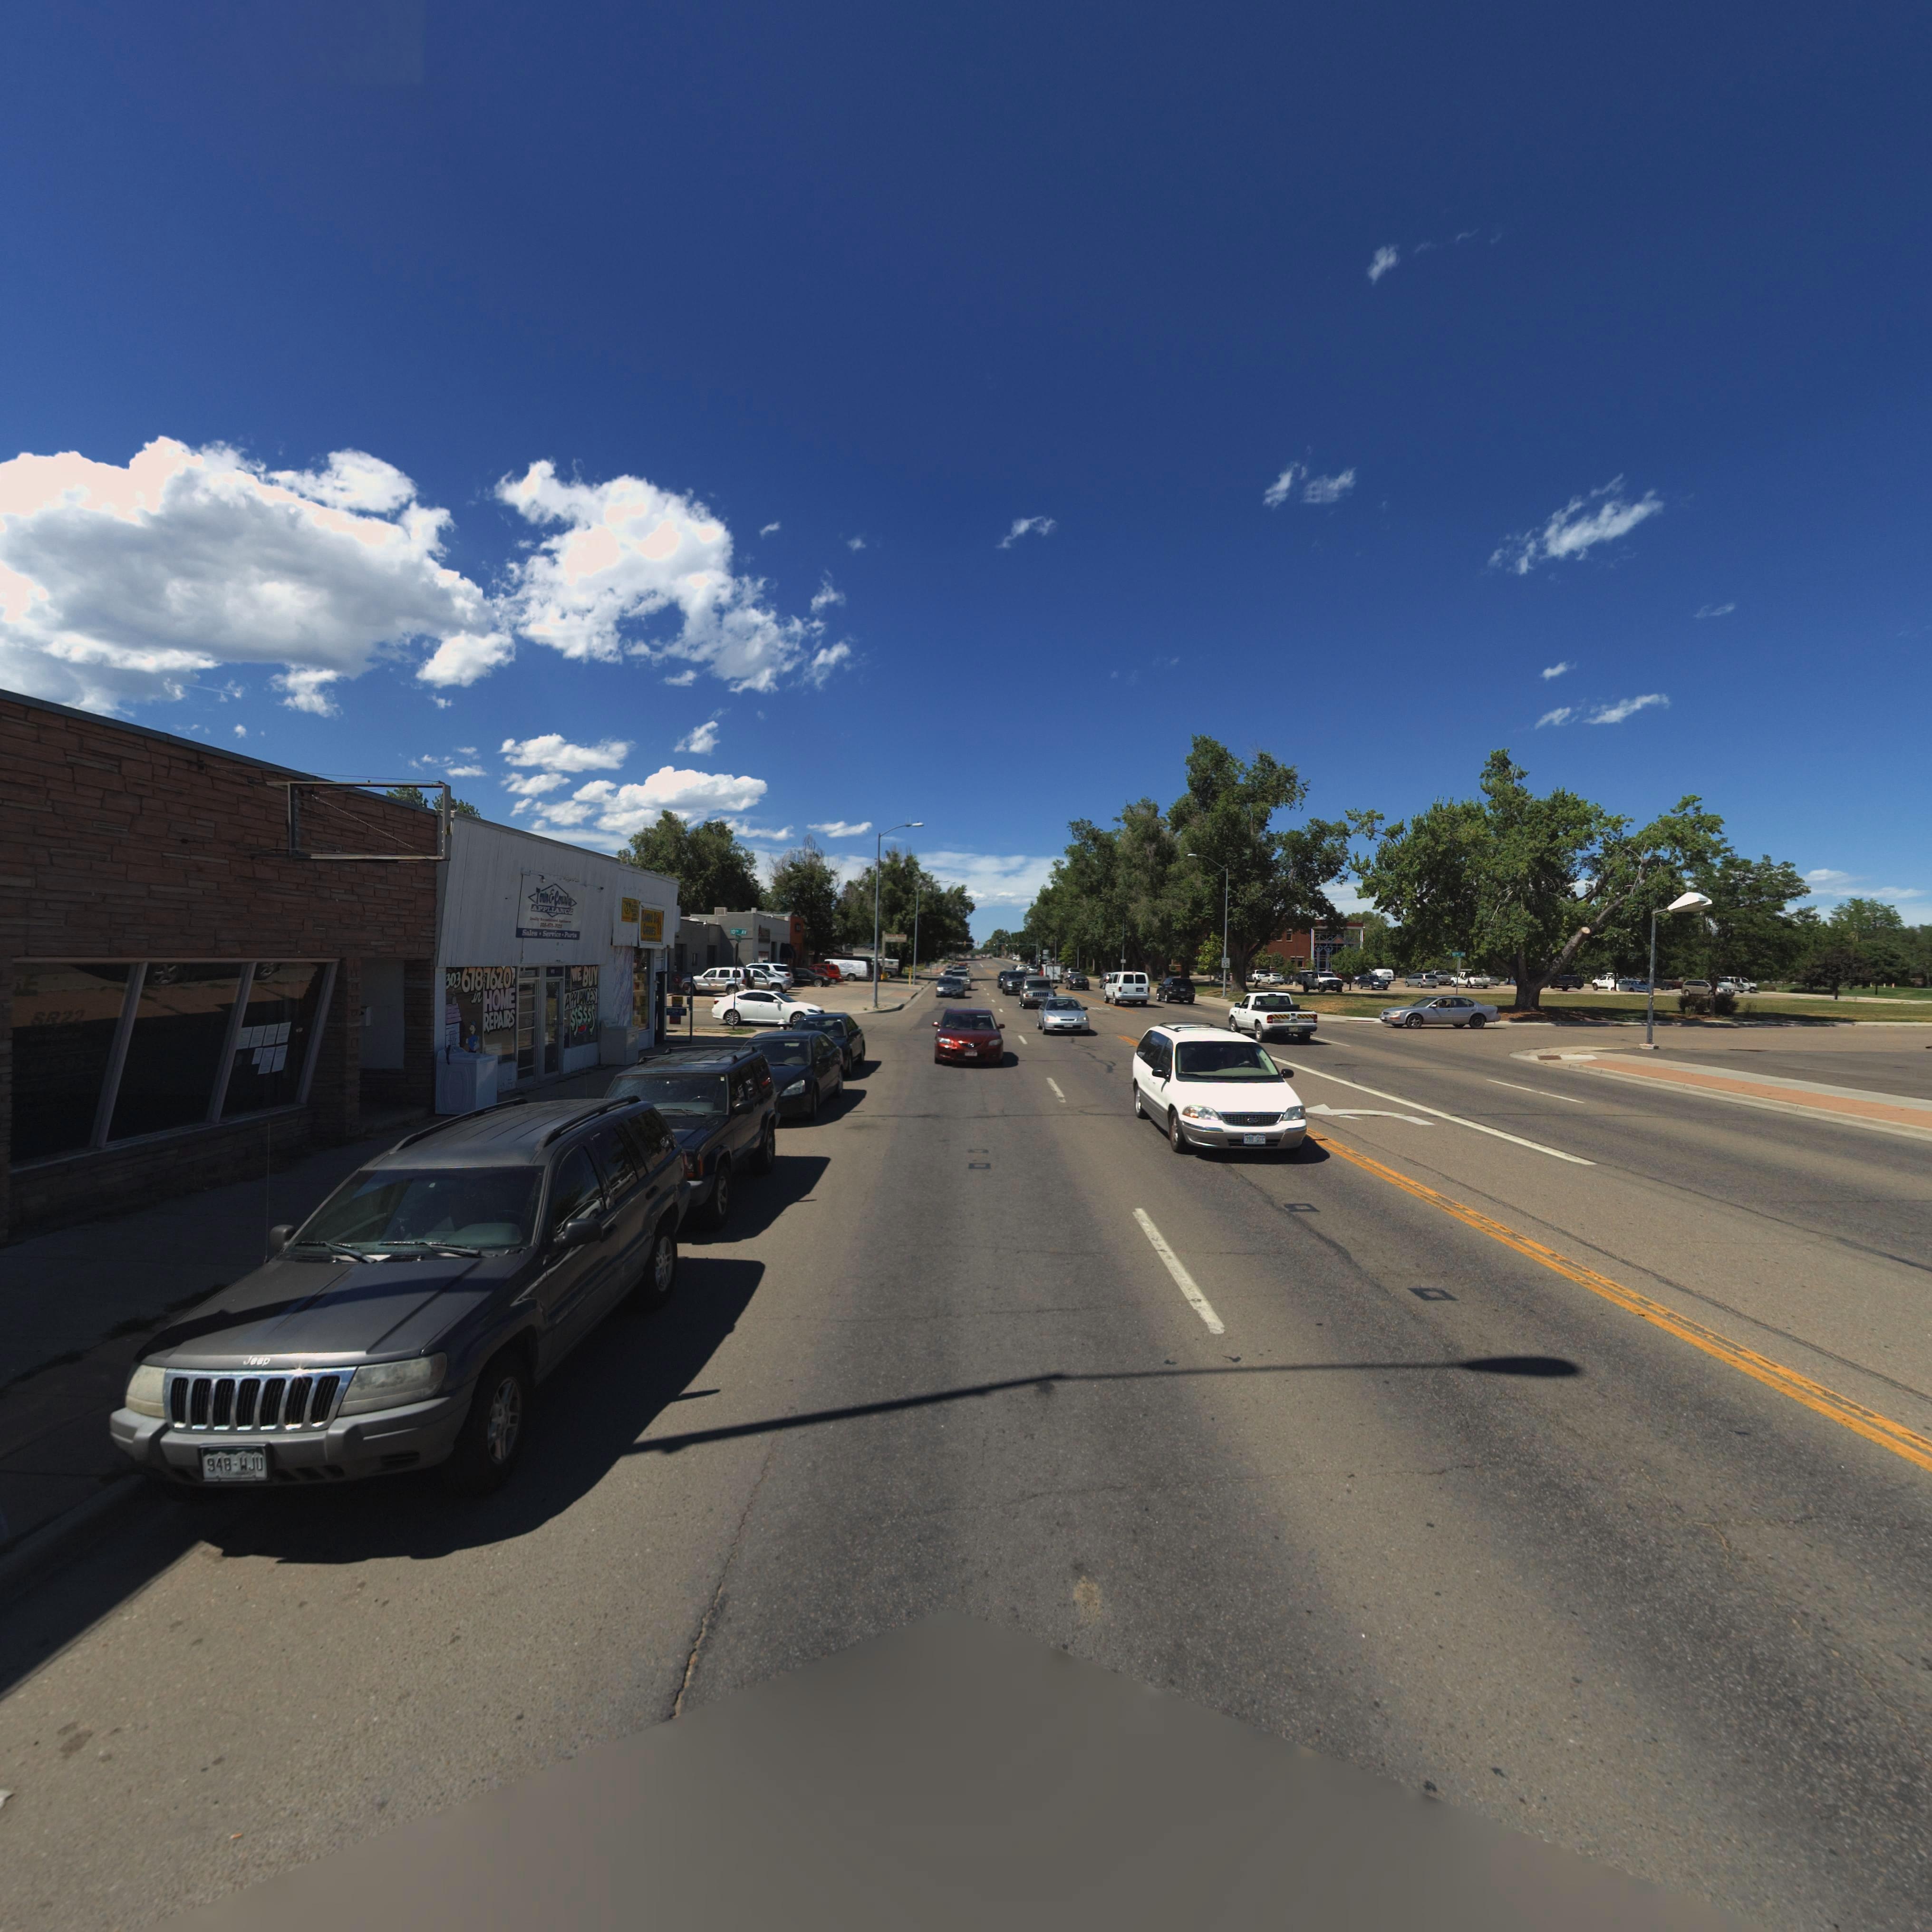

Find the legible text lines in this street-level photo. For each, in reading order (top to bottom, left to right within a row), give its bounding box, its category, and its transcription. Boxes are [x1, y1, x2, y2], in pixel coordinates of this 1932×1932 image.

[536, 887, 571, 909] BusinessName: Town * Cou*t*y
[531, 905, 573, 914] BusinessName: APPLIANCE
[730, 929, 747, 935] StreetName: 10**AV
[758, 925, 769, 937] BusinessName: A**T**
[1452, 952, 1465, 956] StreetName: 10** AV